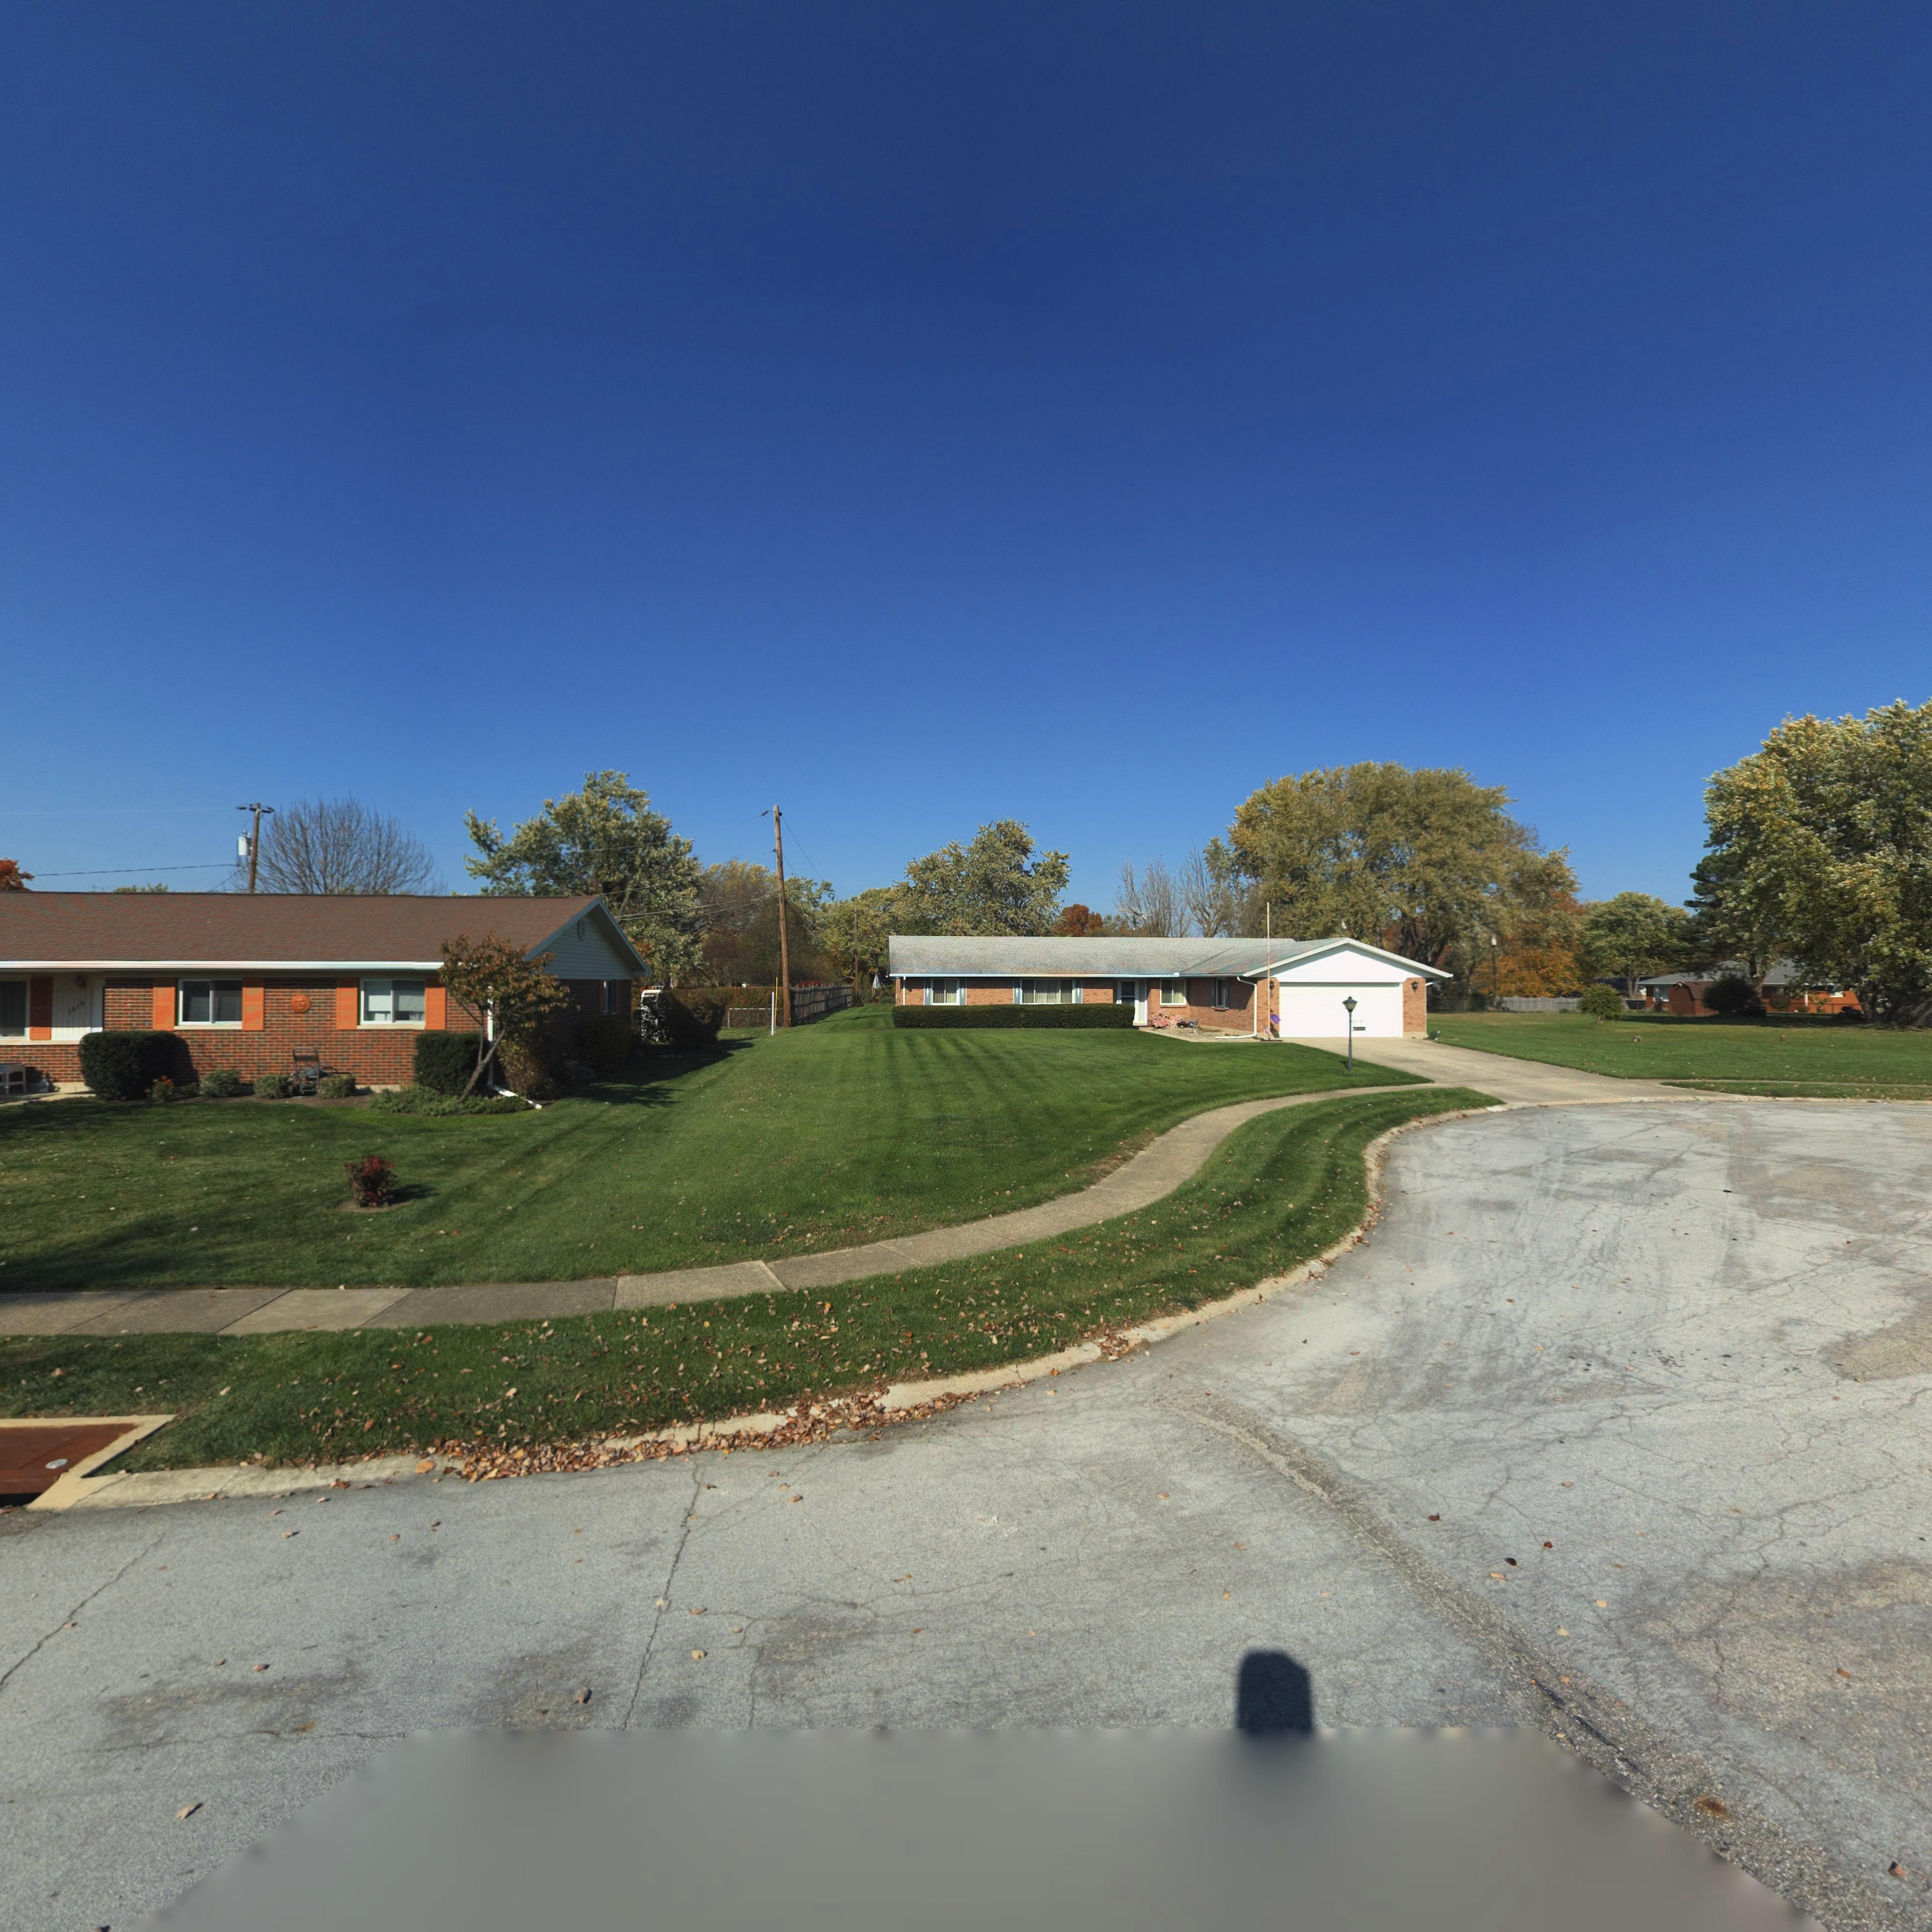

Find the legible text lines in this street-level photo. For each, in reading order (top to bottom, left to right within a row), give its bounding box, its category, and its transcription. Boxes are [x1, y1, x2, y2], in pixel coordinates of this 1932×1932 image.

[68, 999, 86, 1016] StreetNumber: 101*